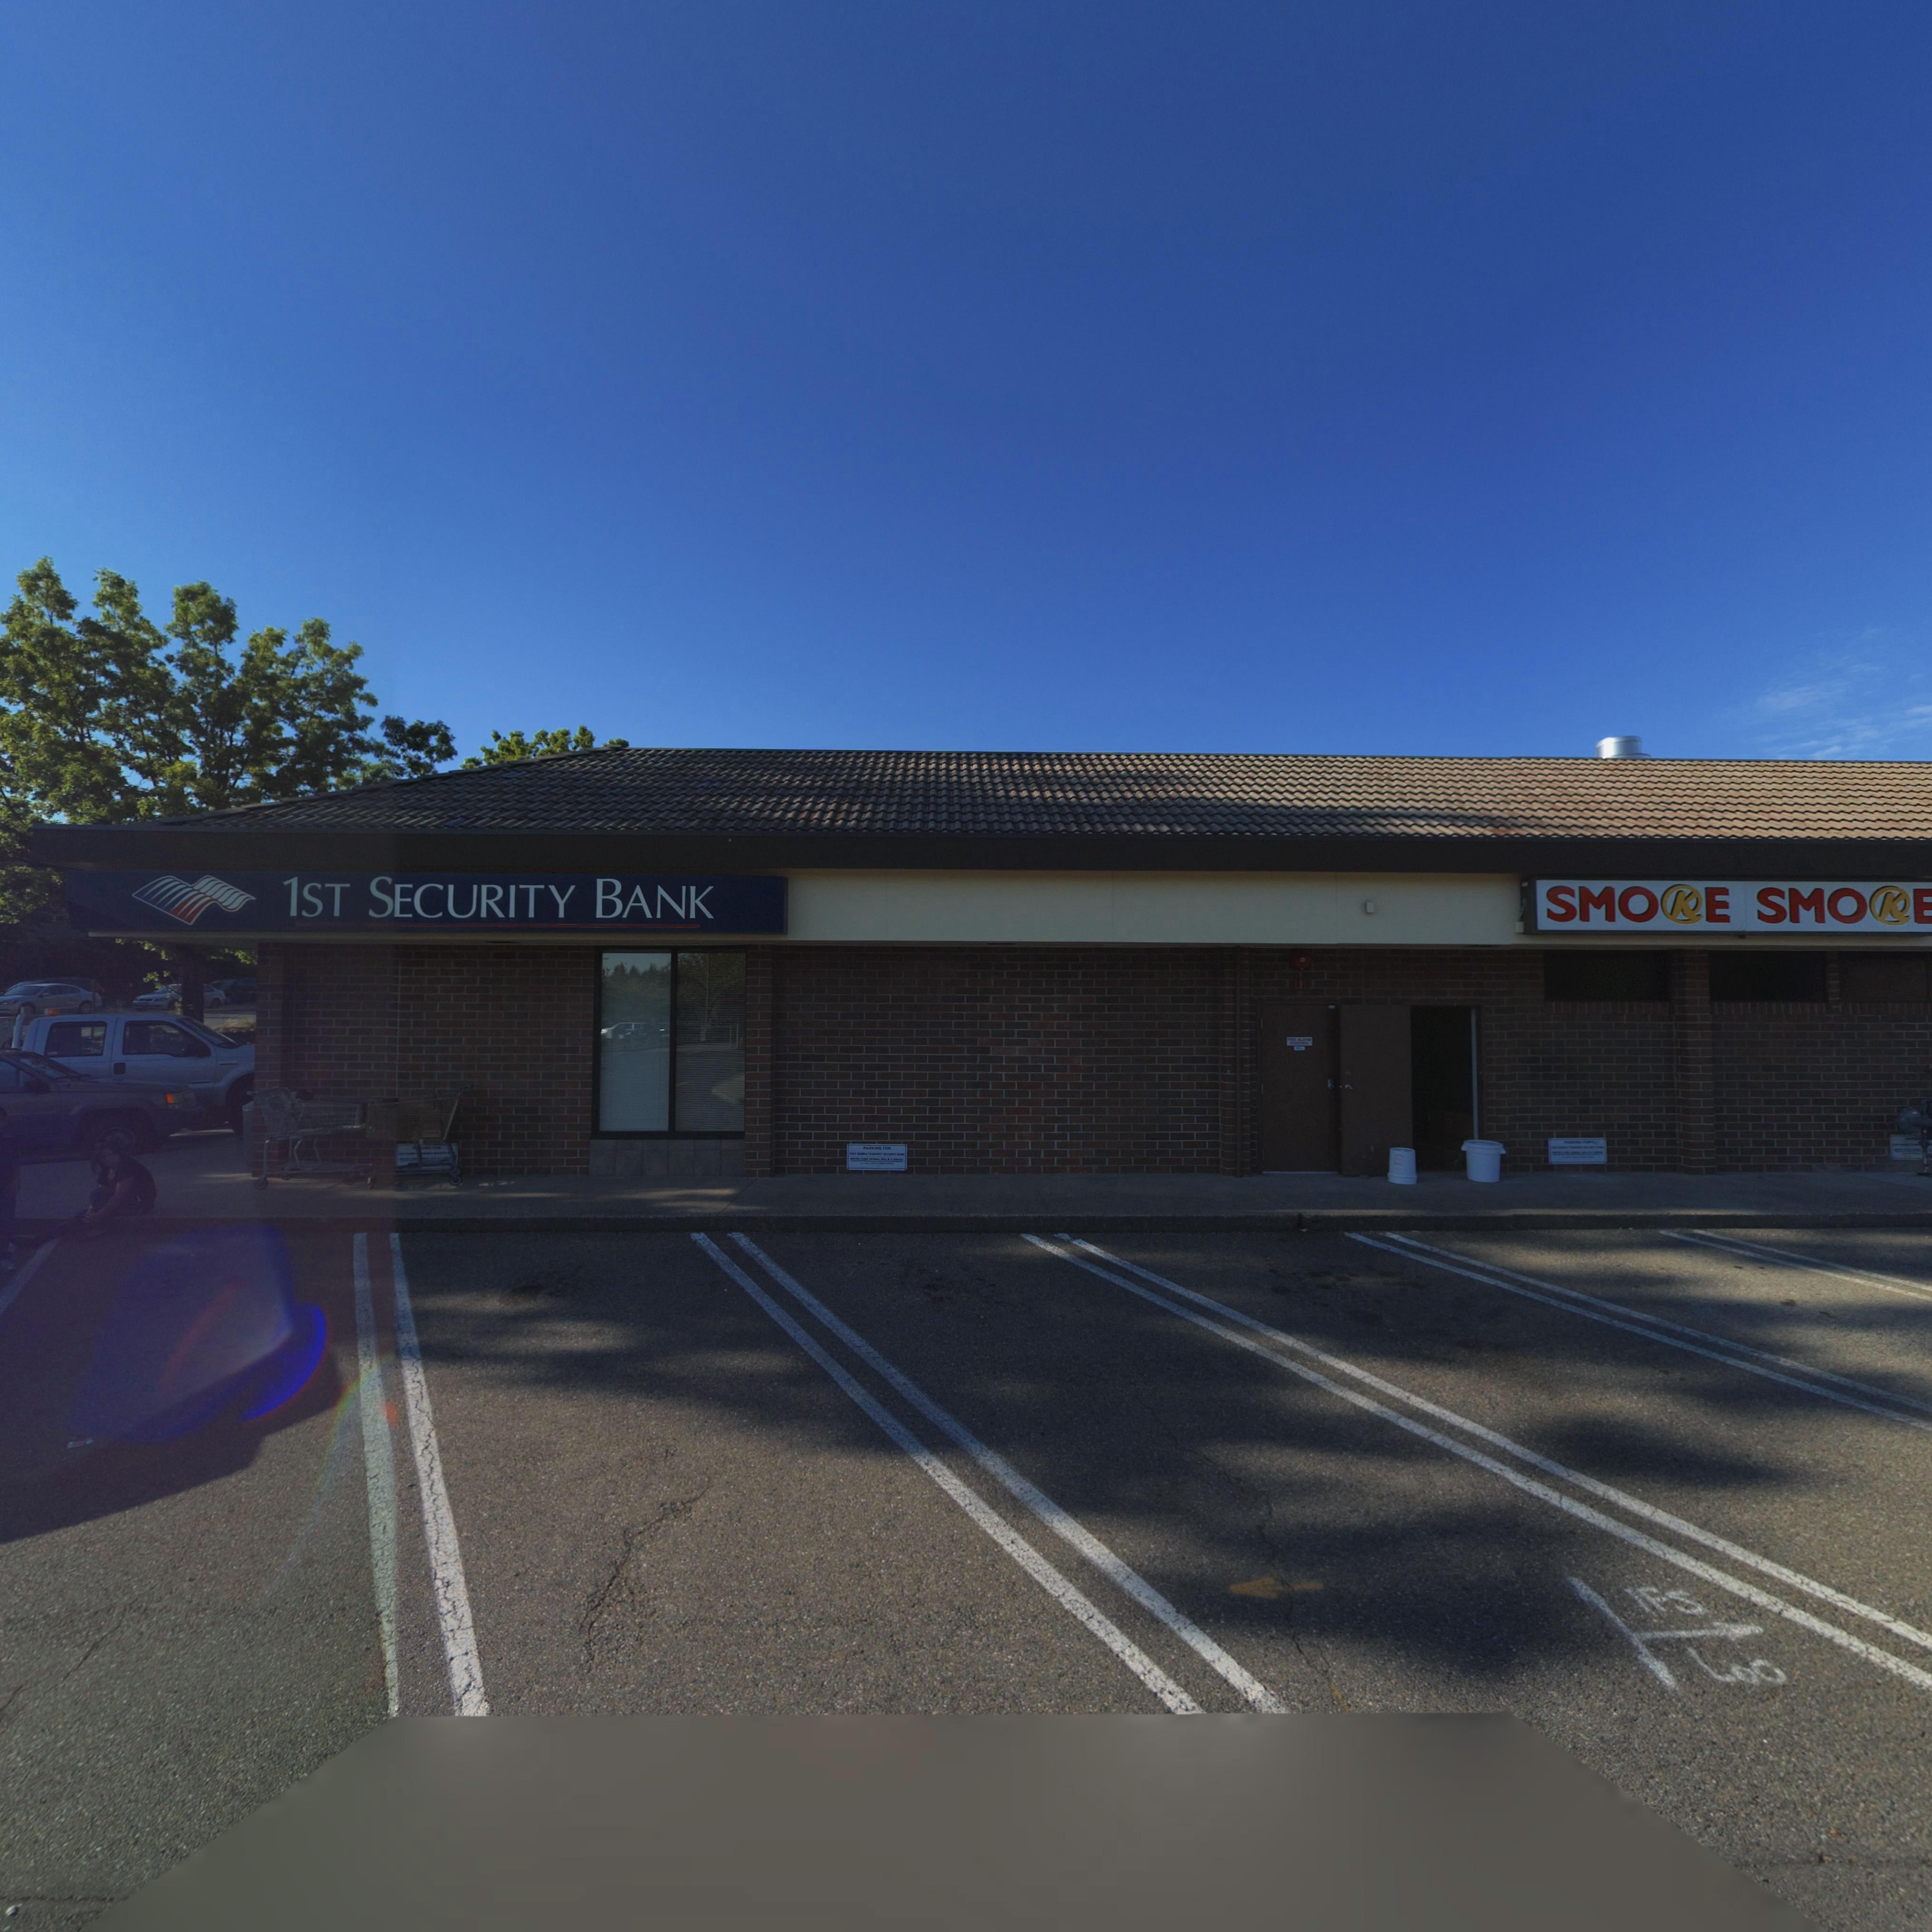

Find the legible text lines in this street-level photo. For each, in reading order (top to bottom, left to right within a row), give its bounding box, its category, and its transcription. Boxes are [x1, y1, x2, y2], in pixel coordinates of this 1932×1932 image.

[281, 874, 716, 922] BusinessName: 1ST SECURITY BANK
[1544, 879, 1932, 930] BusinessName: SMO*E SMO*E